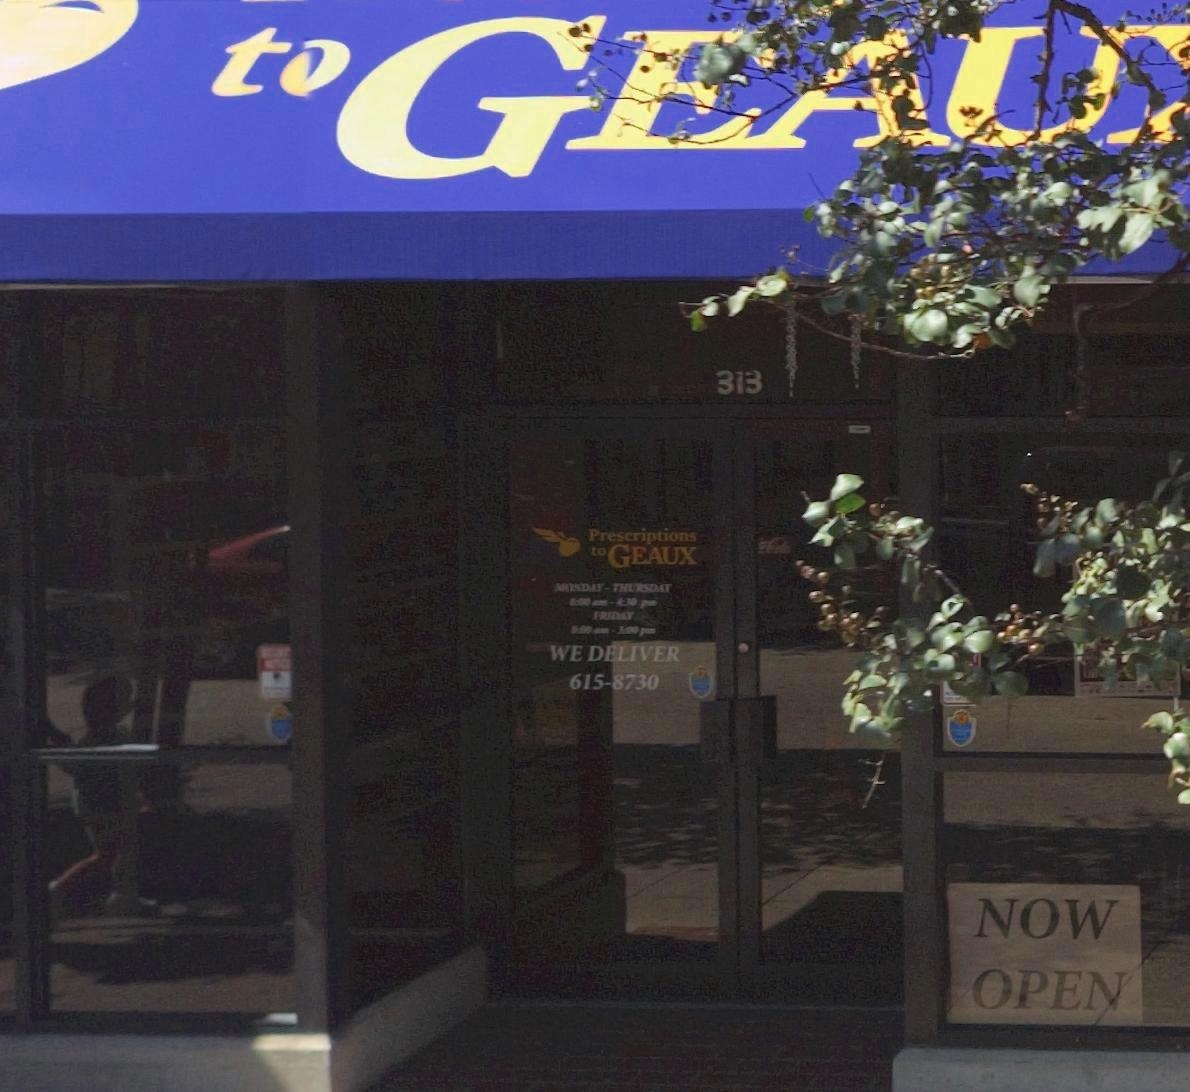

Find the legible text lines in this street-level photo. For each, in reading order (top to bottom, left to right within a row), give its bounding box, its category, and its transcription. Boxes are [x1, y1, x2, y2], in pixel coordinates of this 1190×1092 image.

[200, 8, 614, 193] BusinessName: t* G
[713, 367, 767, 398] StreetNumber: 313
[585, 526, 699, 547] BusinessName: Prescriptions
[589, 542, 700, 573] BusinessName: to GEAUX
[552, 580, 675, 596] None: MO*DAY-TH**SDAY
[547, 642, 684, 665] None: WE DELIVER
[565, 670, 662, 693] None: 615-8730
[970, 892, 1126, 944] None: NOW
[968, 965, 1132, 1016] None: OPEN